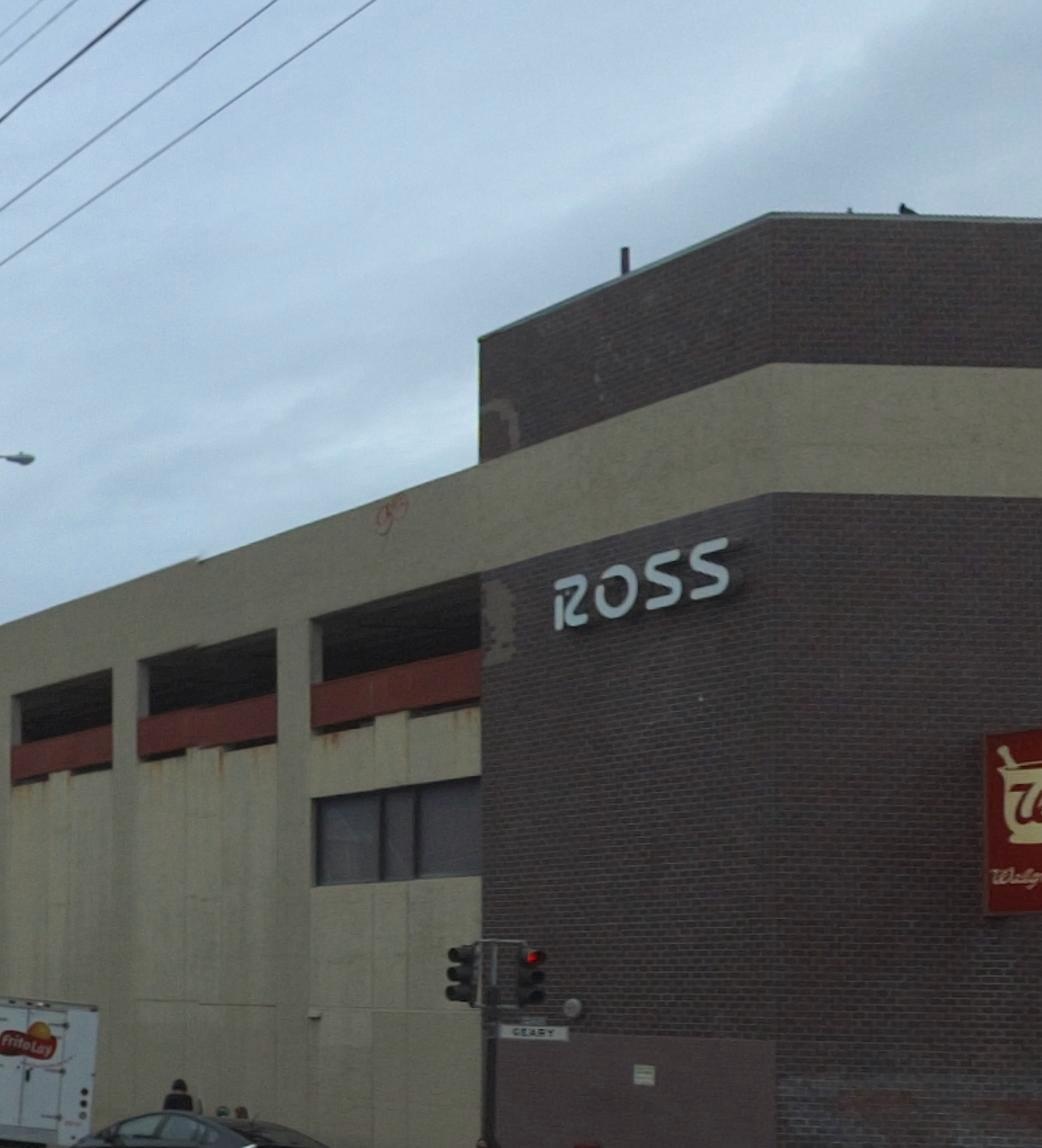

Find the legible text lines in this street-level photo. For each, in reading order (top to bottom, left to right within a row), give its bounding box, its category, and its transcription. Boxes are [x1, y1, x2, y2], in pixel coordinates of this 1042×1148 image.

[372, 489, 413, 541] None: go
[549, 531, 732, 637] BusinessName: ROSS
[988, 862, 1019, 889] BusinessName: W
[509, 1026, 558, 1040] StreetName: ***RY